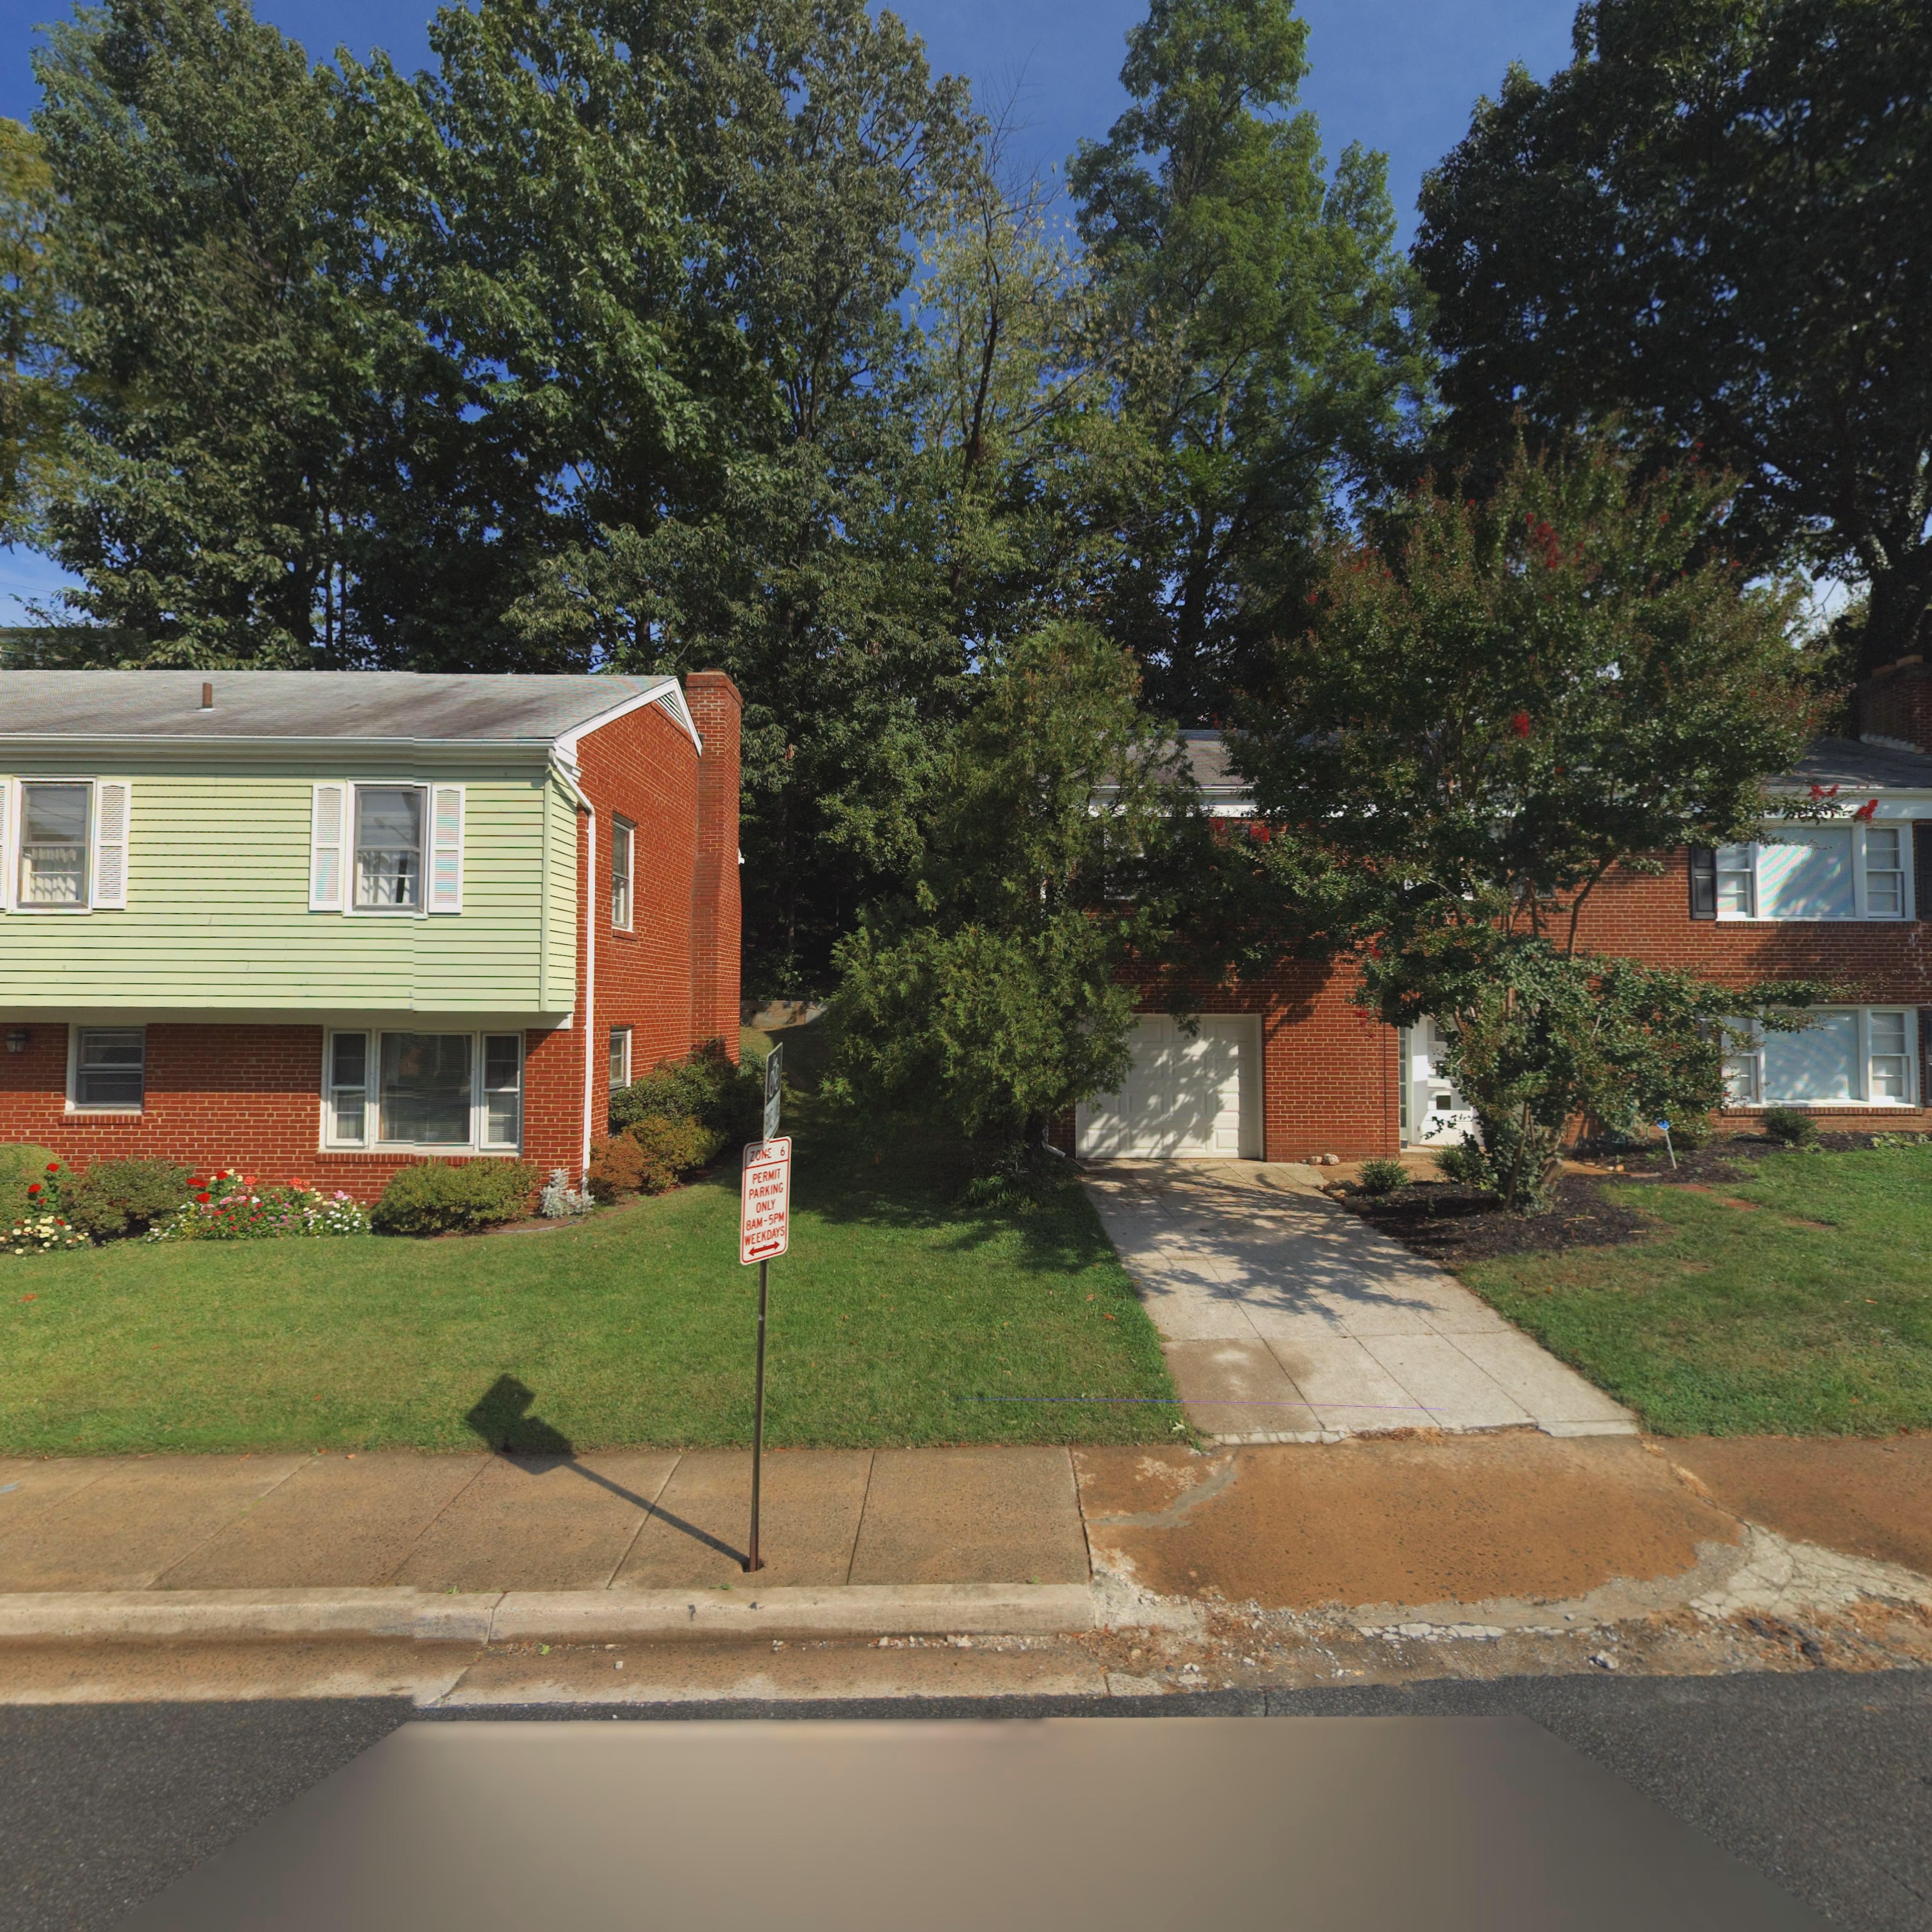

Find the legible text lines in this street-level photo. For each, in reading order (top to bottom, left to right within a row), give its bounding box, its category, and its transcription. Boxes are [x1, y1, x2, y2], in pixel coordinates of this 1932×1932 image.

[748, 1144, 787, 1164] None: ZONE 6
[751, 1166, 783, 1187] None: PERMIT
[747, 1180, 785, 1202] None: PARKING
[754, 1196, 778, 1215] None: ONLY
[744, 1208, 786, 1233] None: 8AM-5PM
[743, 1223, 787, 1248] None: WEEKDAYS